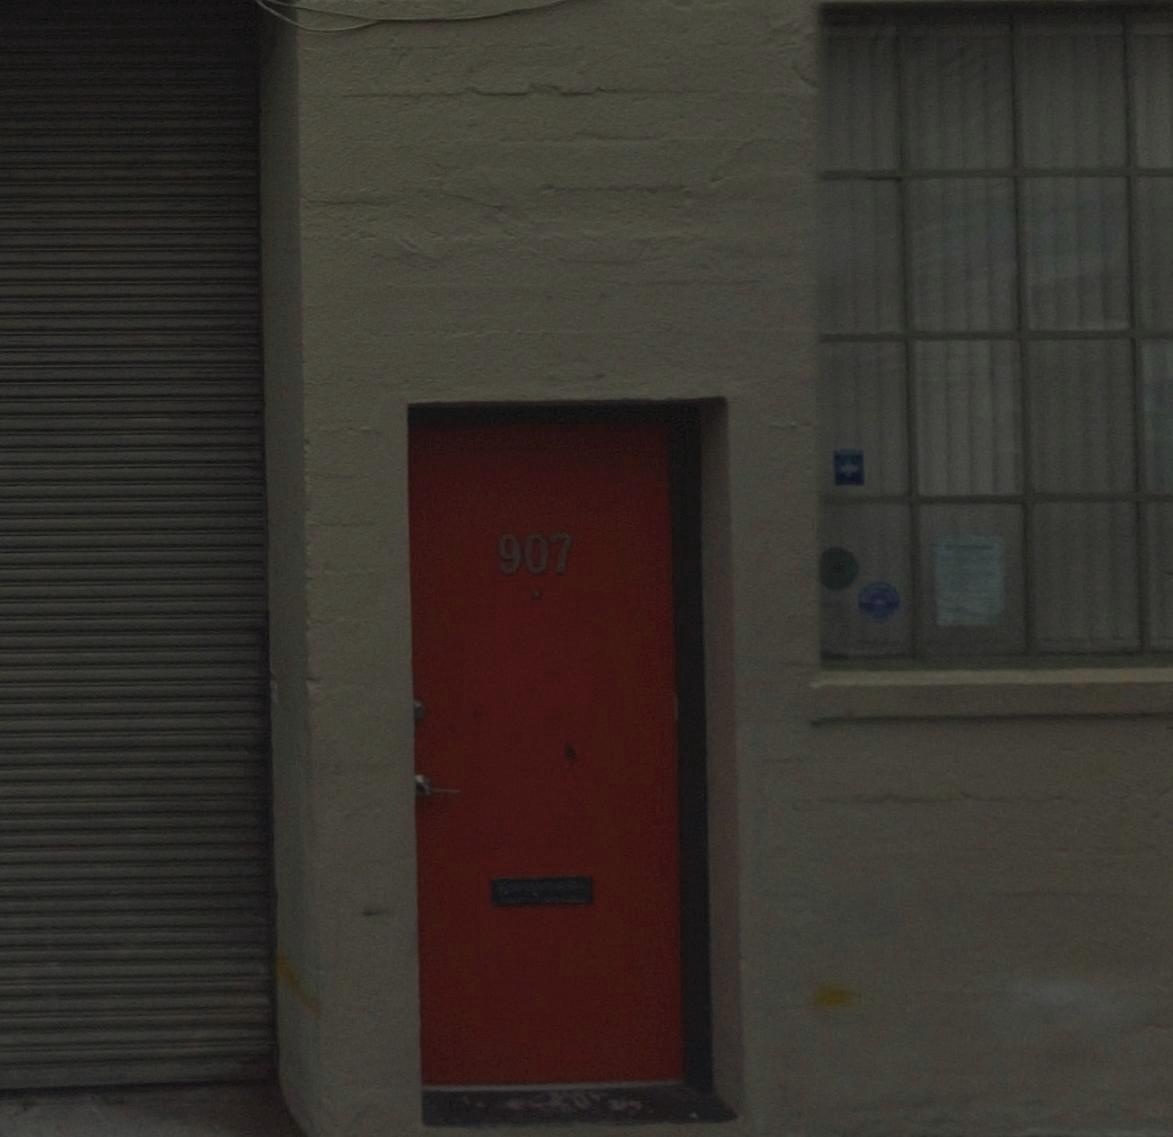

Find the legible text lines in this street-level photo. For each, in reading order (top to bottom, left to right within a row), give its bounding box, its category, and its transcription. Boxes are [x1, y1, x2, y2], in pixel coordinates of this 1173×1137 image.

[494, 529, 576, 578] StreetNumber: 907